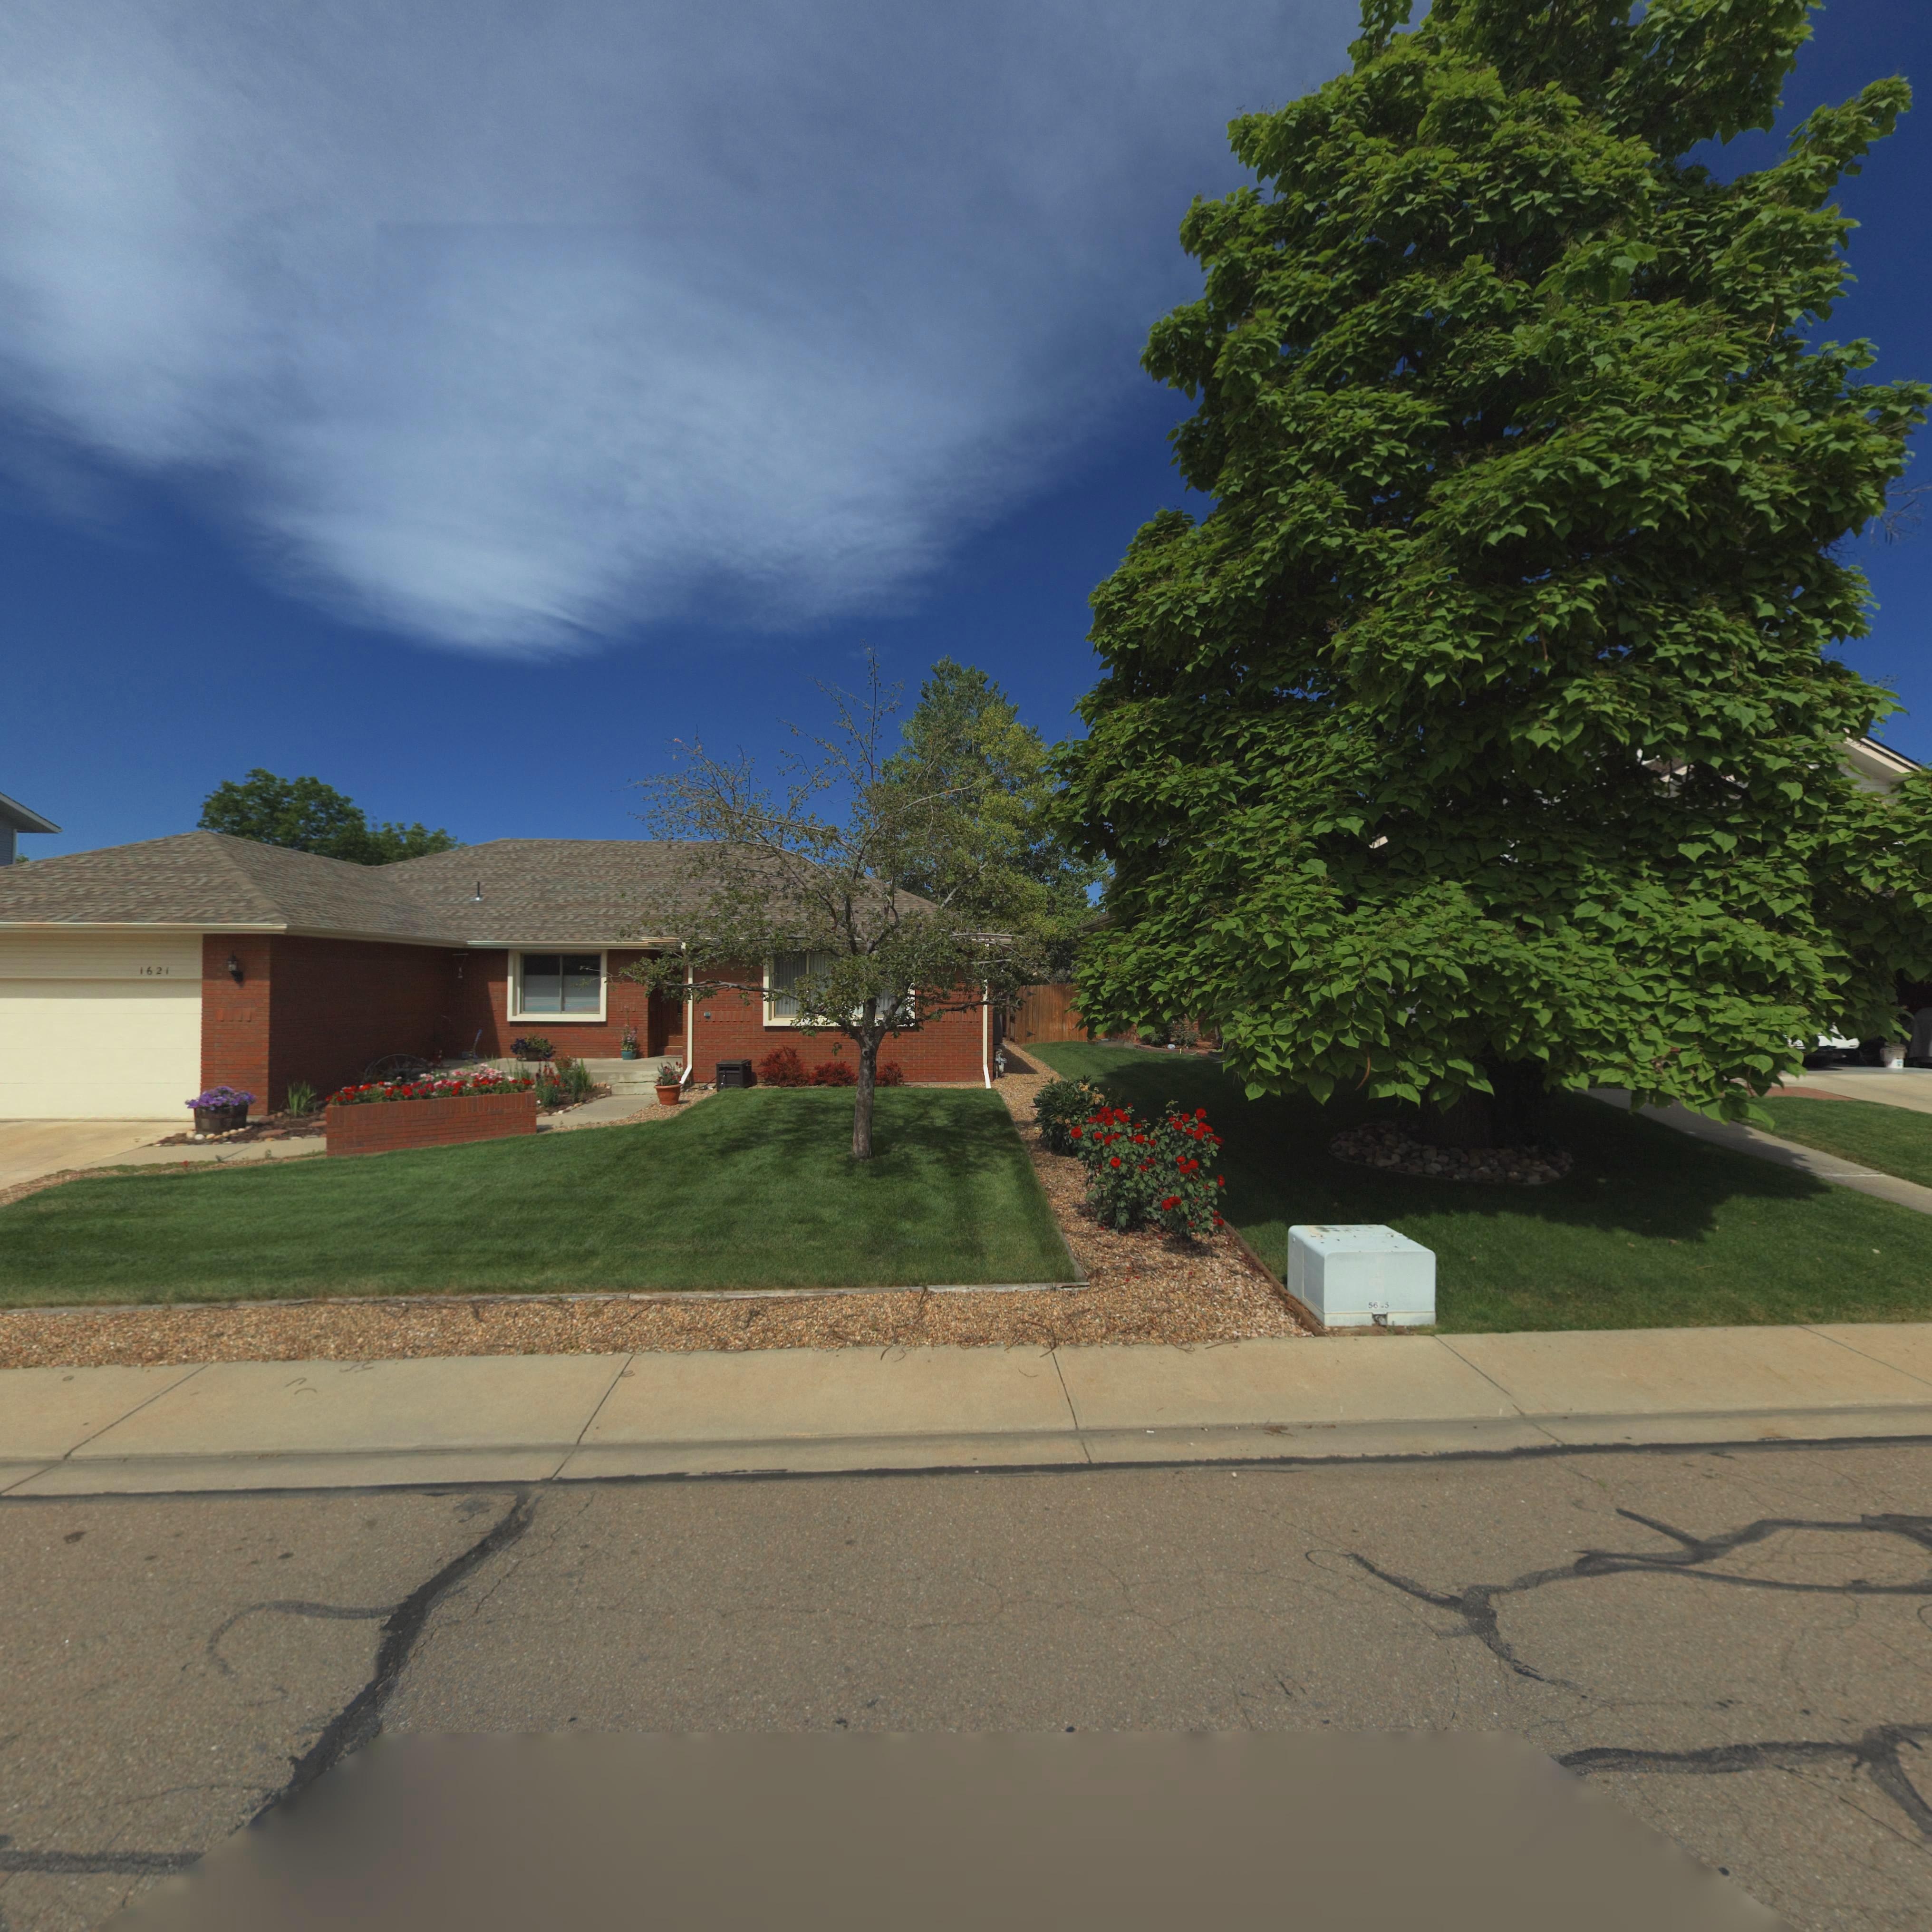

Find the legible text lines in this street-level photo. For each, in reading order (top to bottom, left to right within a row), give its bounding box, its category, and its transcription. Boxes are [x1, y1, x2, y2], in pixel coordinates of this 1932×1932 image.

[140, 966, 169, 976] StreetNumber: 1621